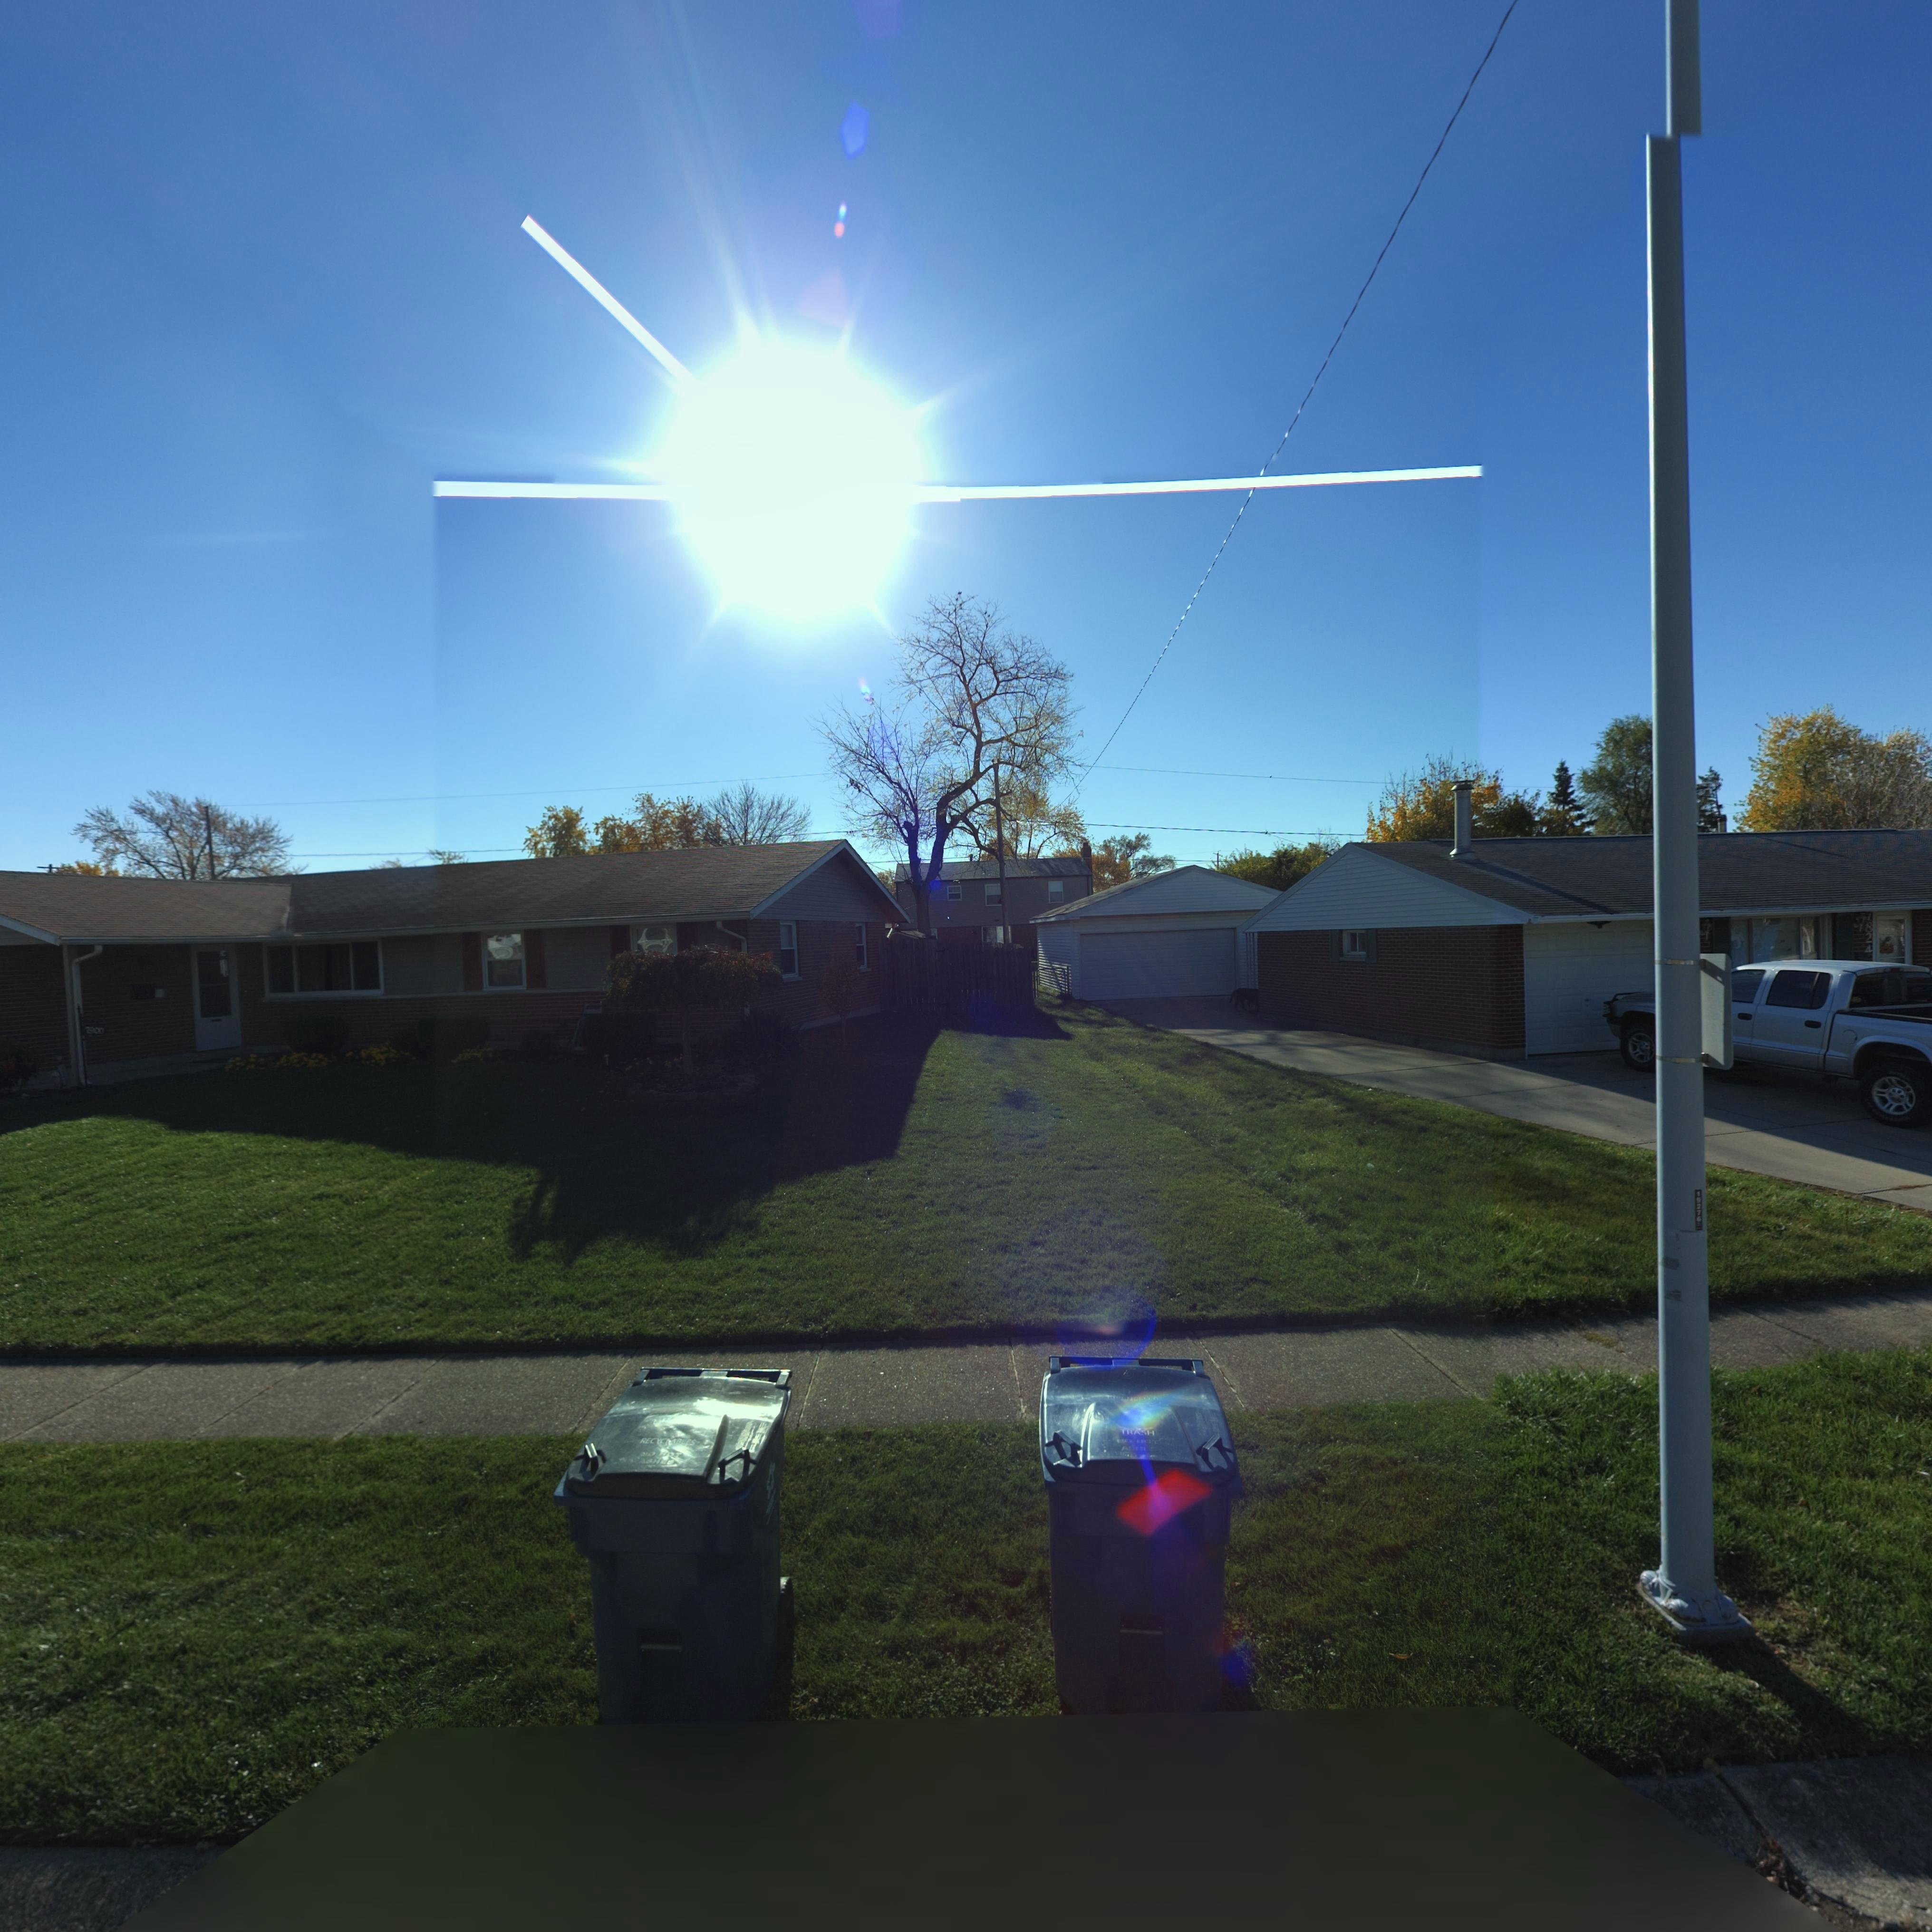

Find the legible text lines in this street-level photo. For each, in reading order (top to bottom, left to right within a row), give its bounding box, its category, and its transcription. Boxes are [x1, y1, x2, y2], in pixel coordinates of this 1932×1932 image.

[1864, 911, 1873, 957] StreetNumber: 7824
[85, 1026, 106, 1035] StreetNumber: 7900